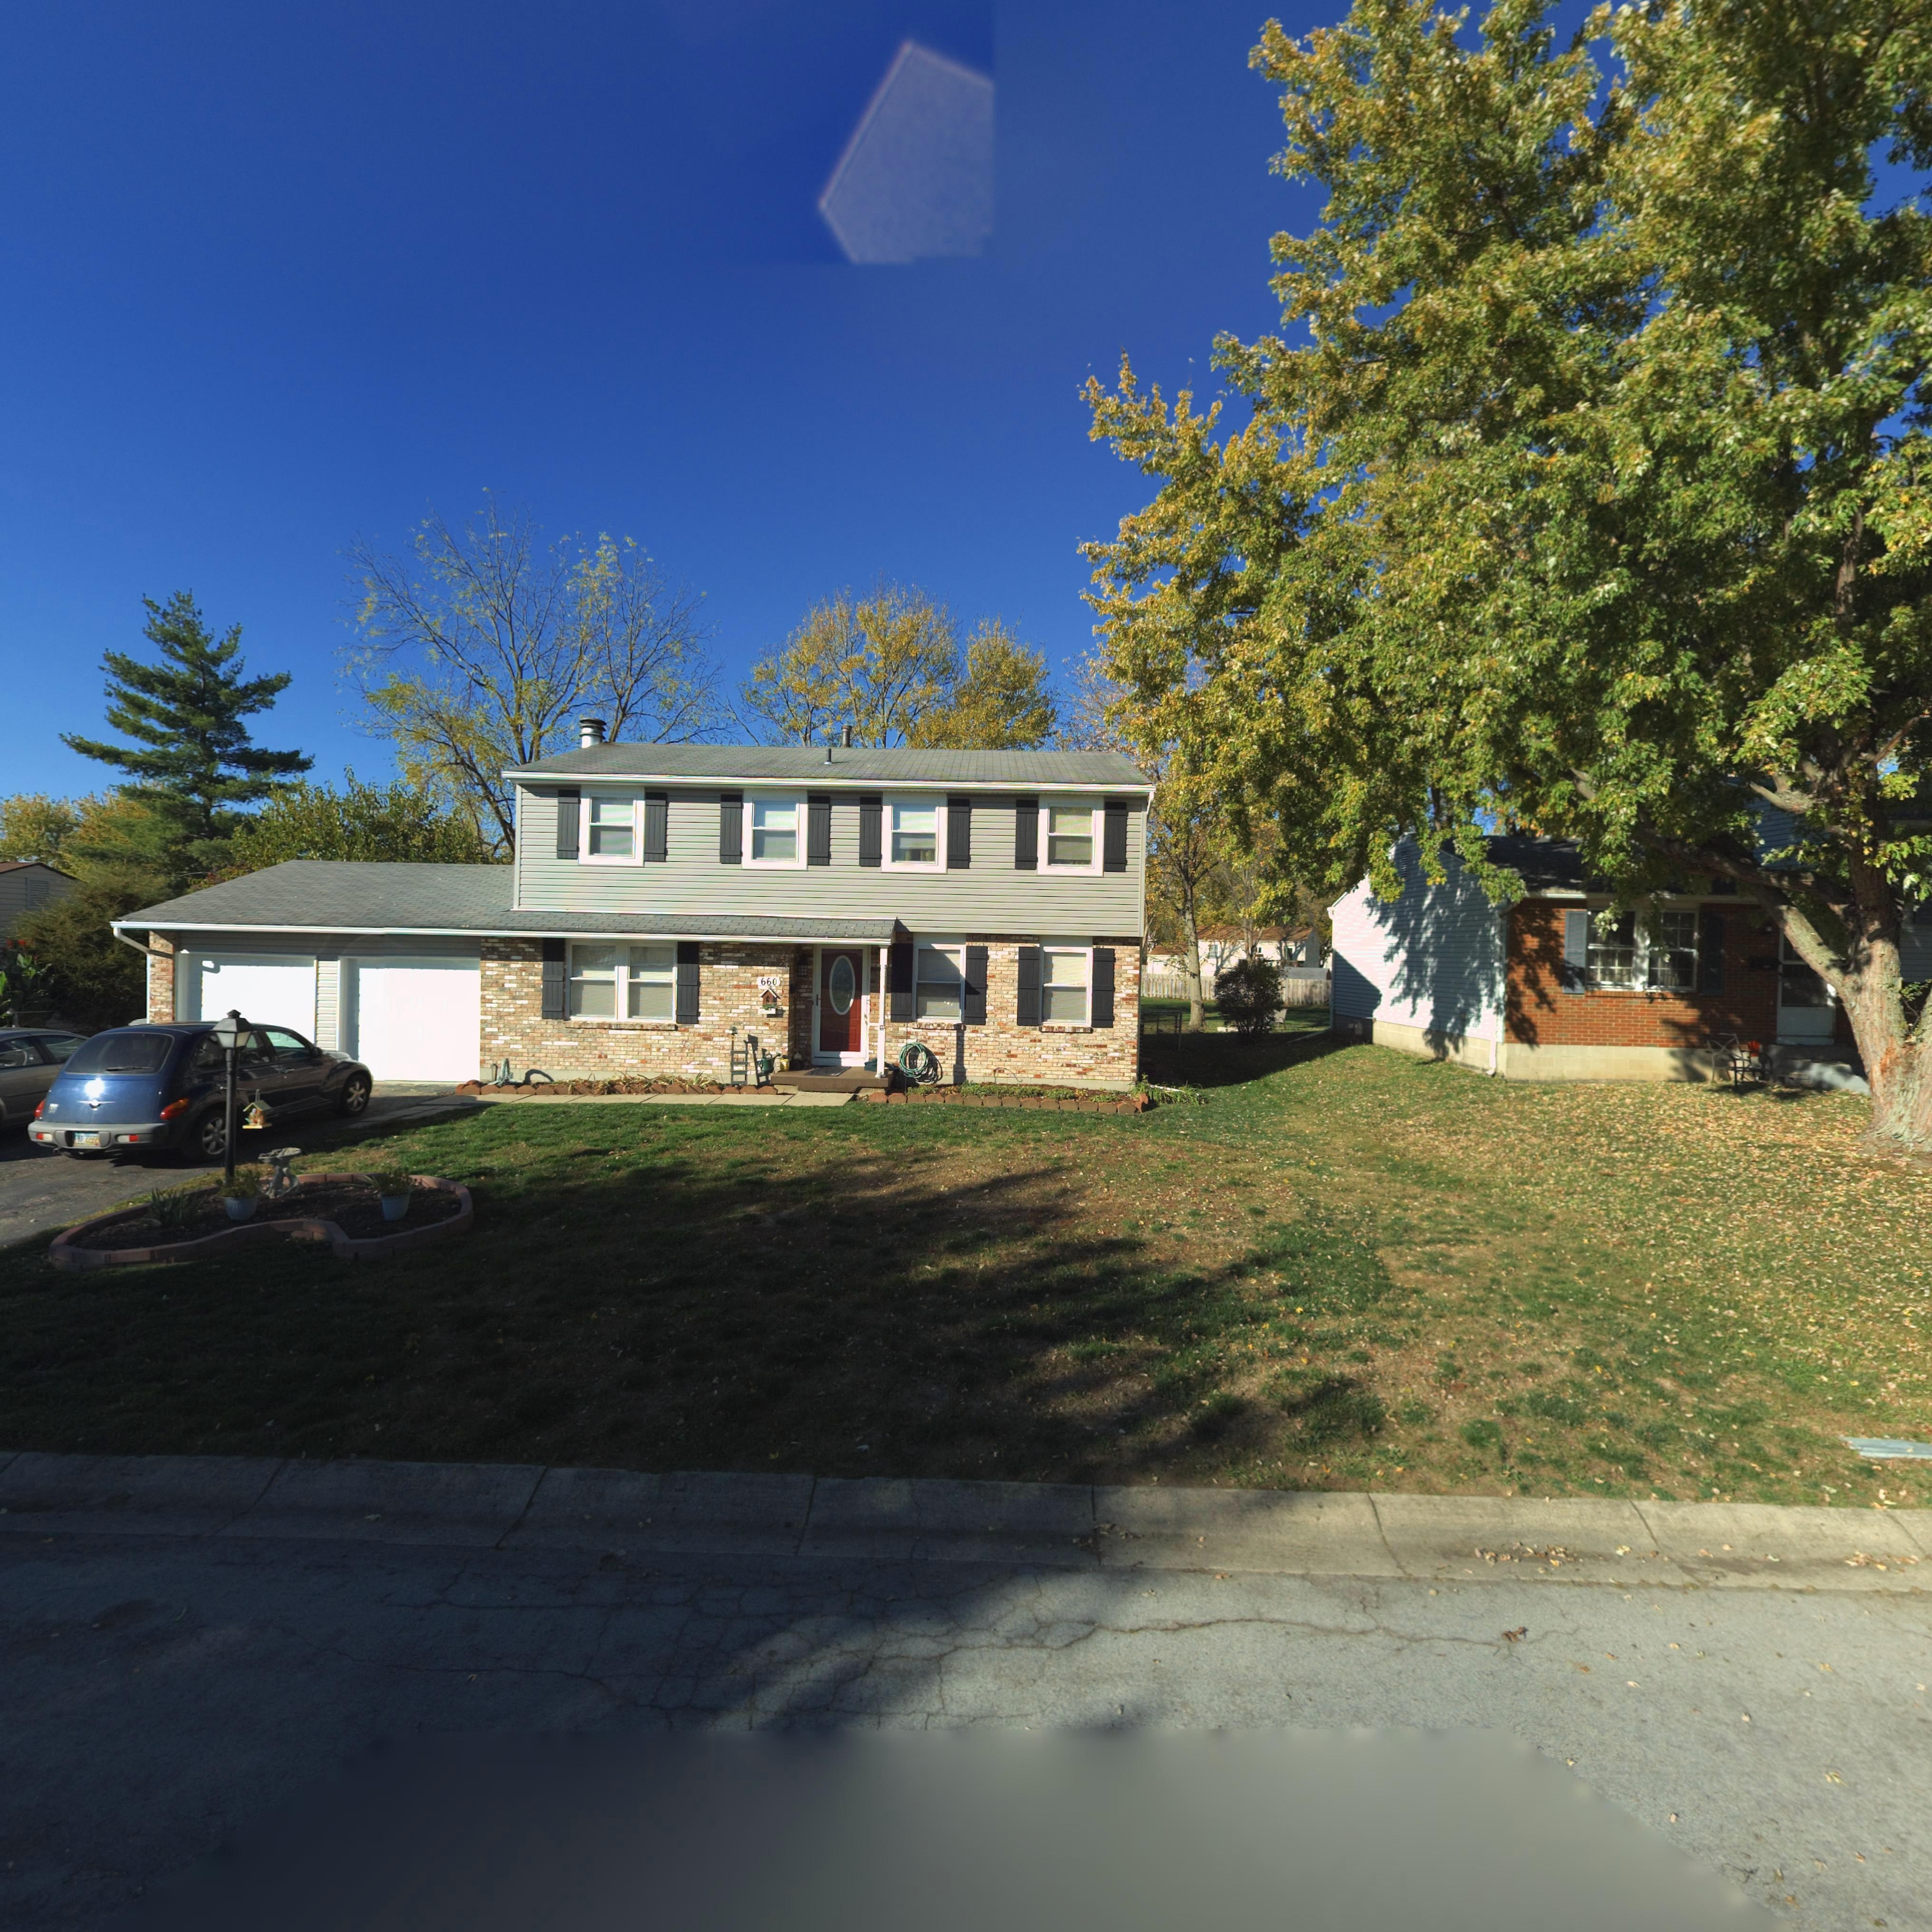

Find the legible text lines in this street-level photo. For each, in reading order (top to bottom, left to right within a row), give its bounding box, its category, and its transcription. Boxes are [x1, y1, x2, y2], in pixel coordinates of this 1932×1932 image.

[760, 977, 777, 986] StreetNumber: 660